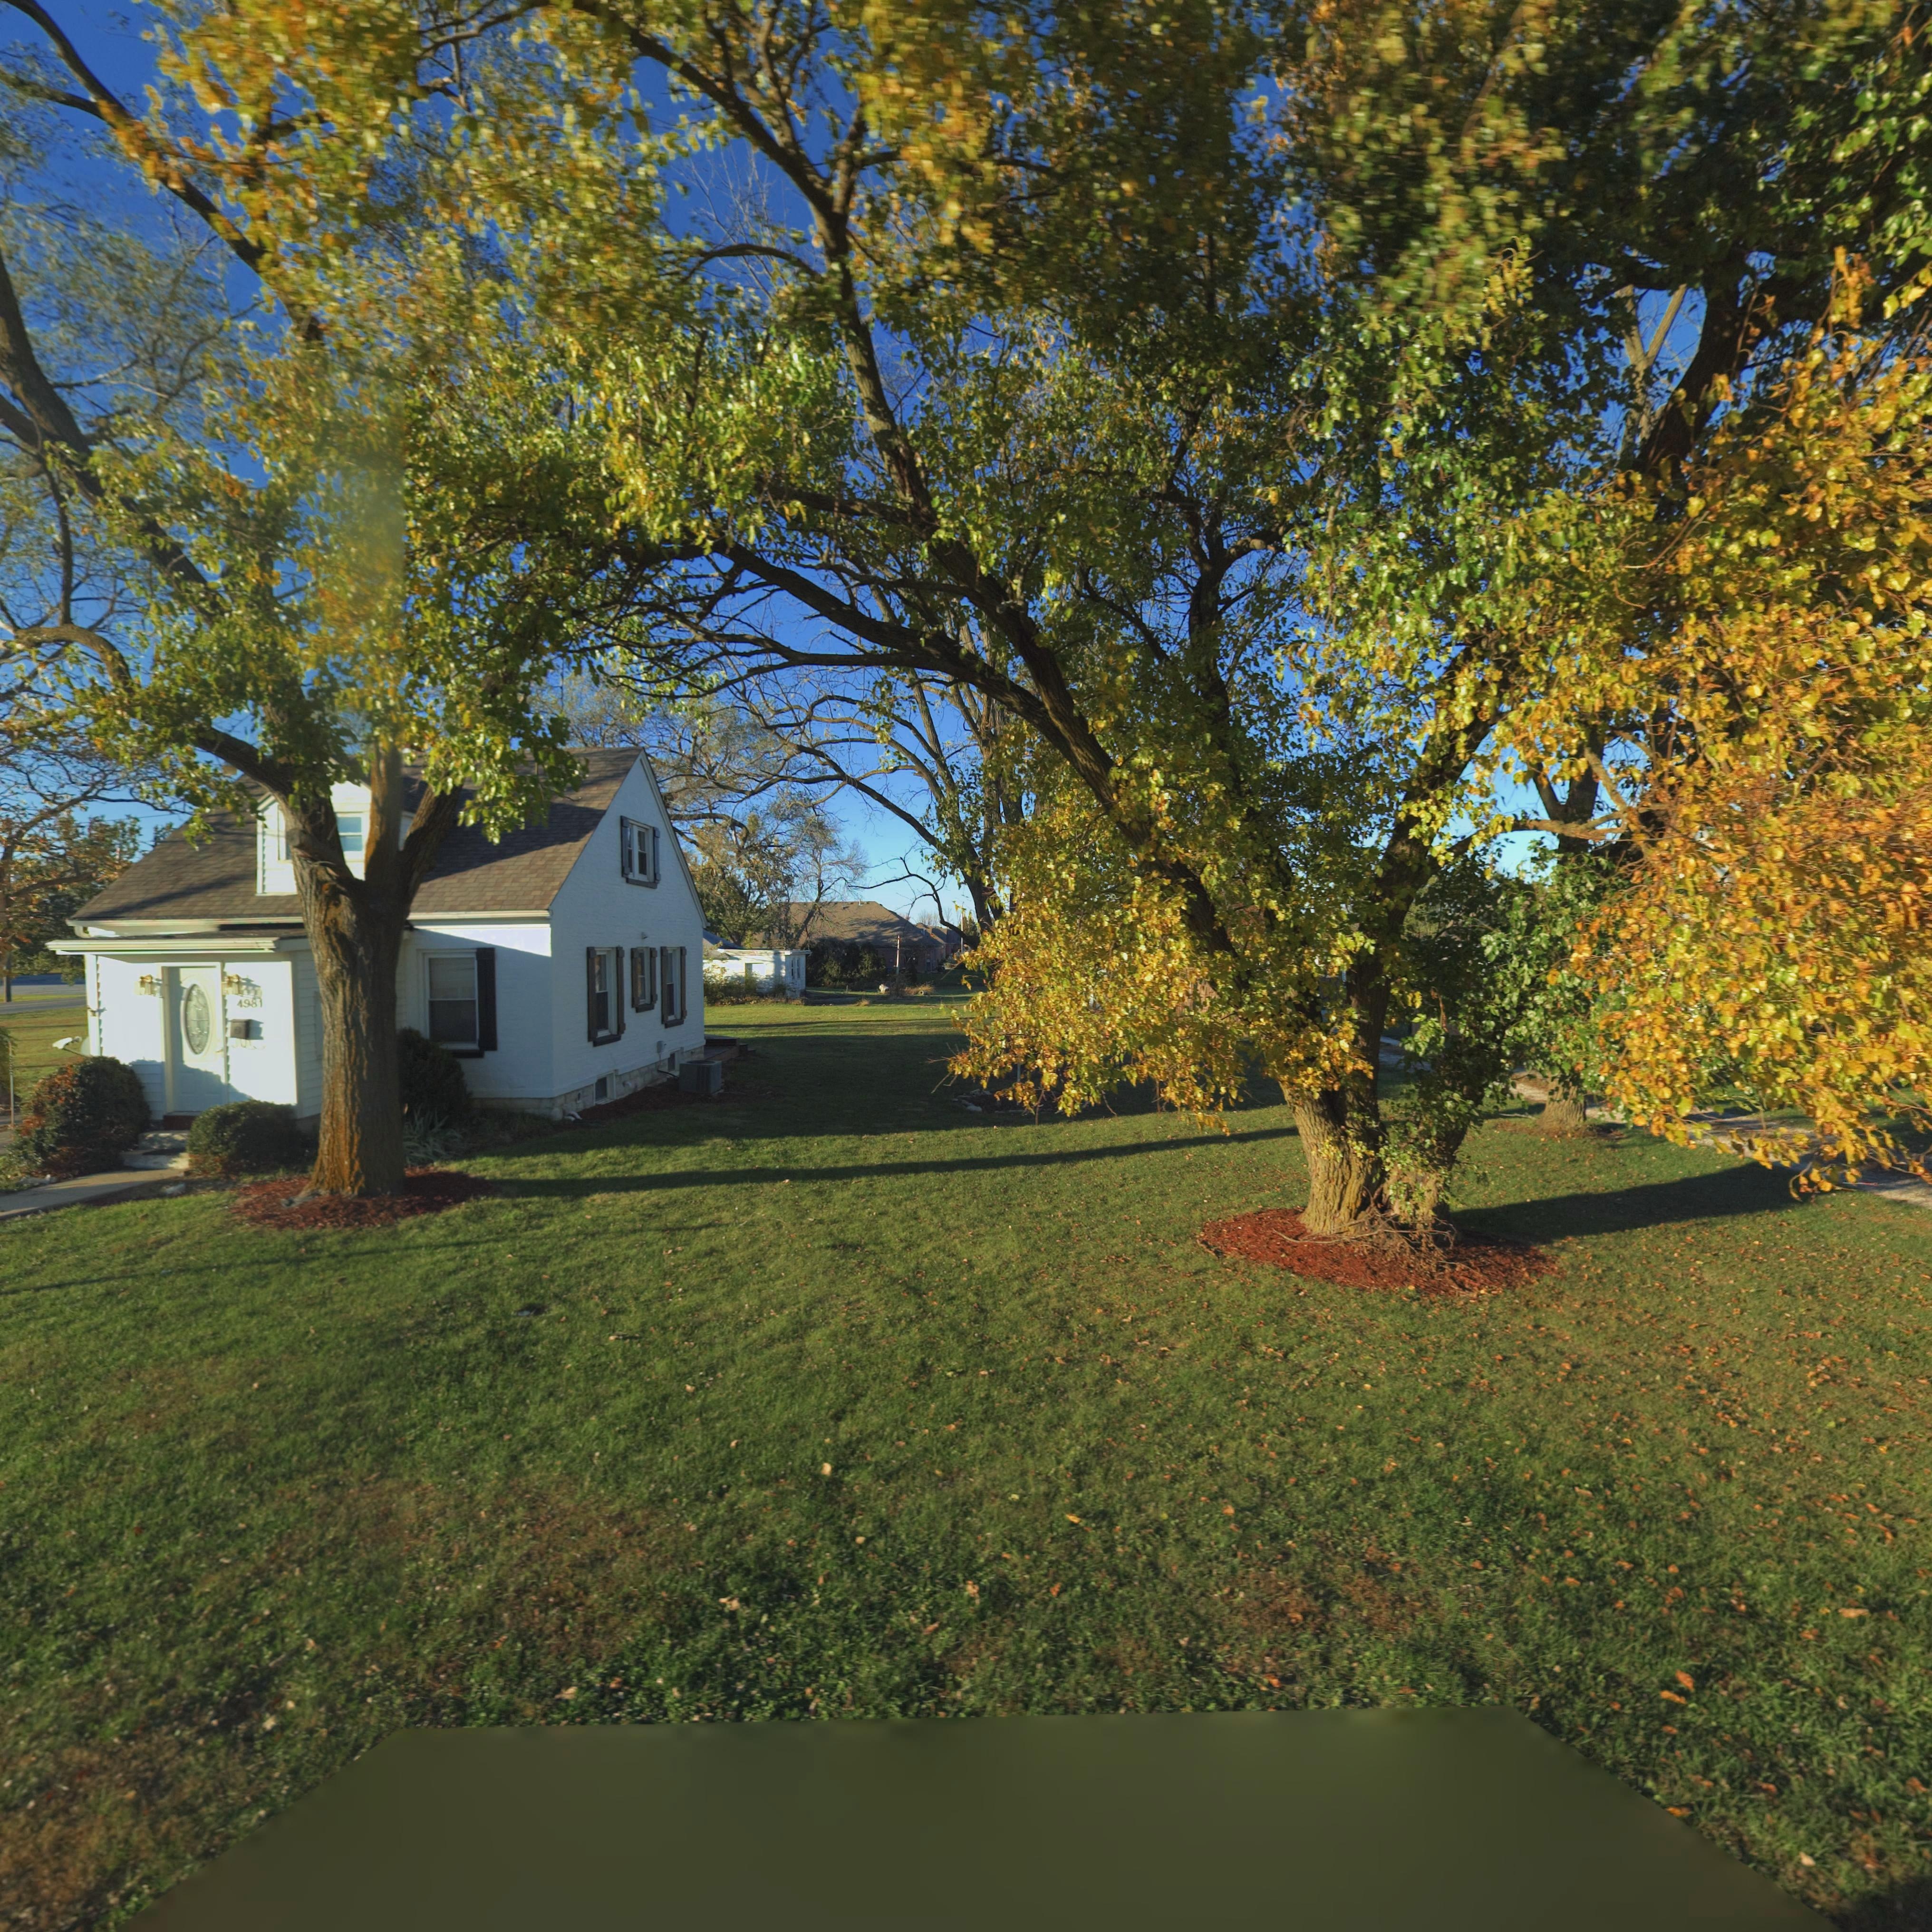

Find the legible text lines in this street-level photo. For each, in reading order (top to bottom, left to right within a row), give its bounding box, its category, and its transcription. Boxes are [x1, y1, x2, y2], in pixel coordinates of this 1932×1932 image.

[236, 998, 263, 1009] StreetNumber: 4981